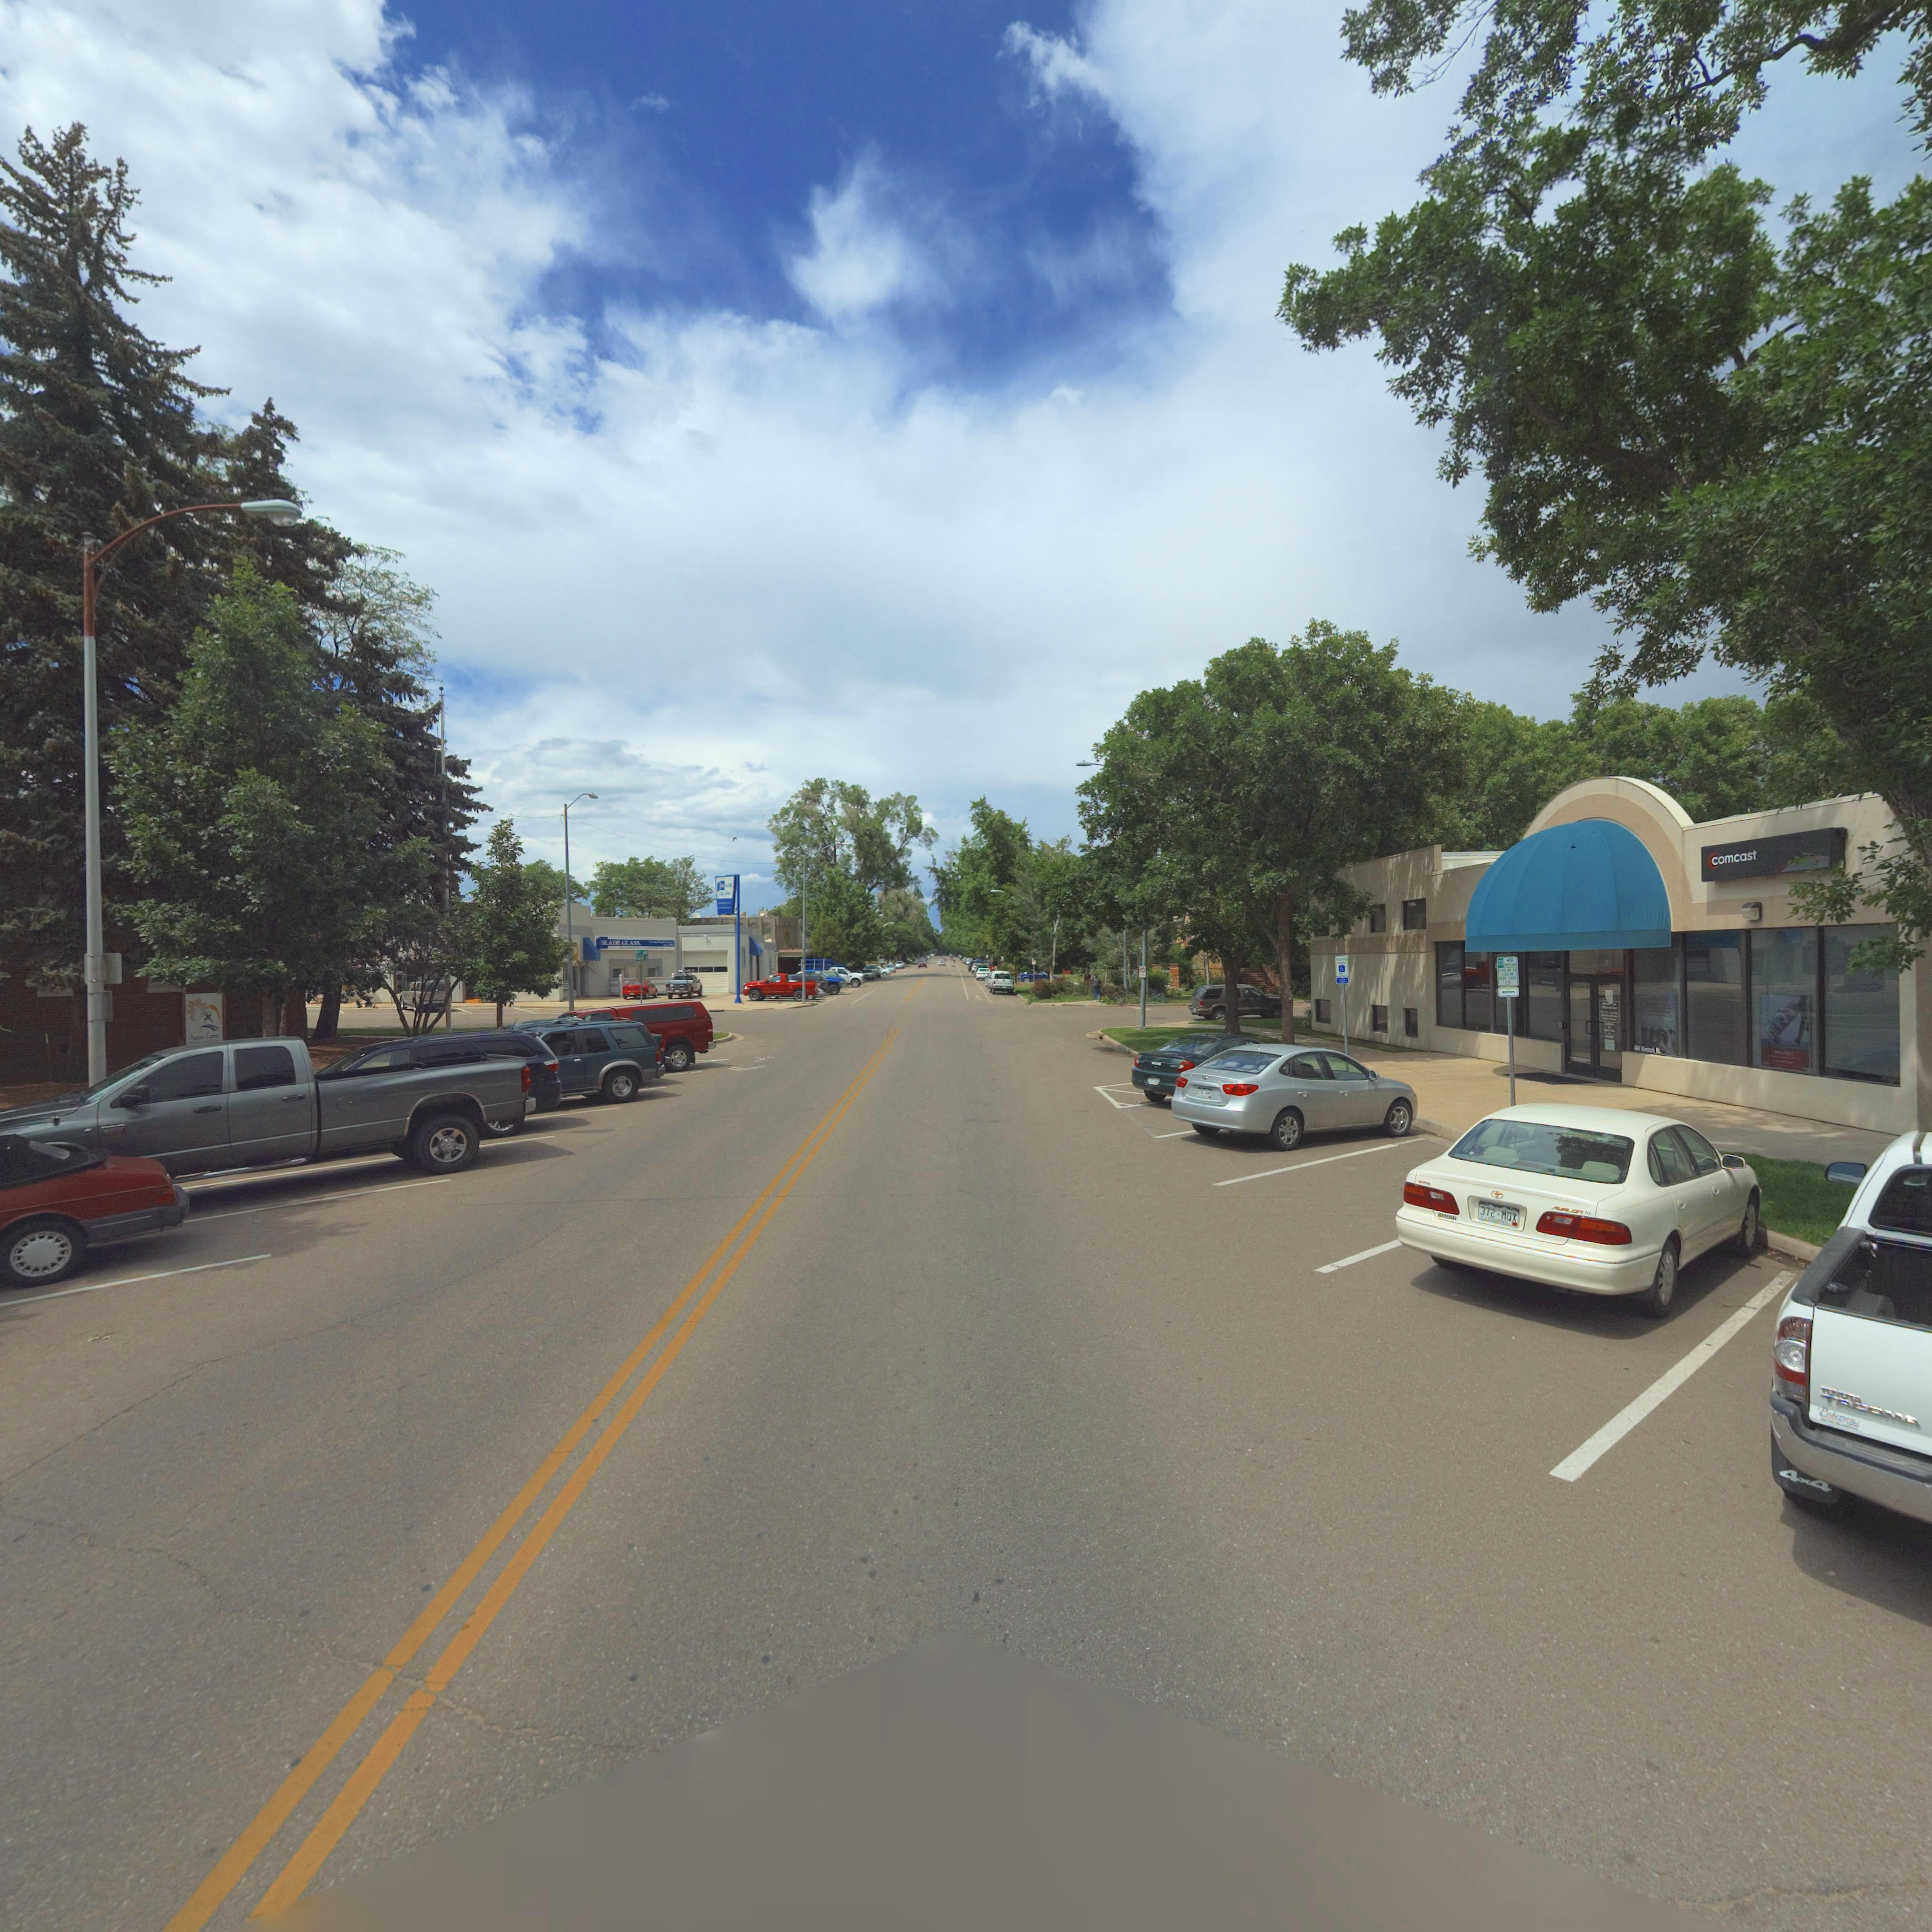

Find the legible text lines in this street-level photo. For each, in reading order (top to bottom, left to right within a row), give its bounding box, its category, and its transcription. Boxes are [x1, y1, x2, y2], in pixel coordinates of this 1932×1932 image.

[1711, 849, 1758, 866] StreetNumber: comcast
[720, 882, 733, 888] BusinessName: SLADE
[718, 891, 731, 896] BusinessName: GLASS
[601, 940, 640, 946] BusinessName: SLADE GLASS
[635, 951, 648, 955] StreetName: 5** AV
[636, 956, 648, 960] StreetName: ******* S*
[188, 1032, 220, 1042] BusinessName: A*pen Co****
[1633, 1044, 1641, 1051] StreetNumber: 434
[1641, 1045, 1661, 1053] StreetName: Kimbark St